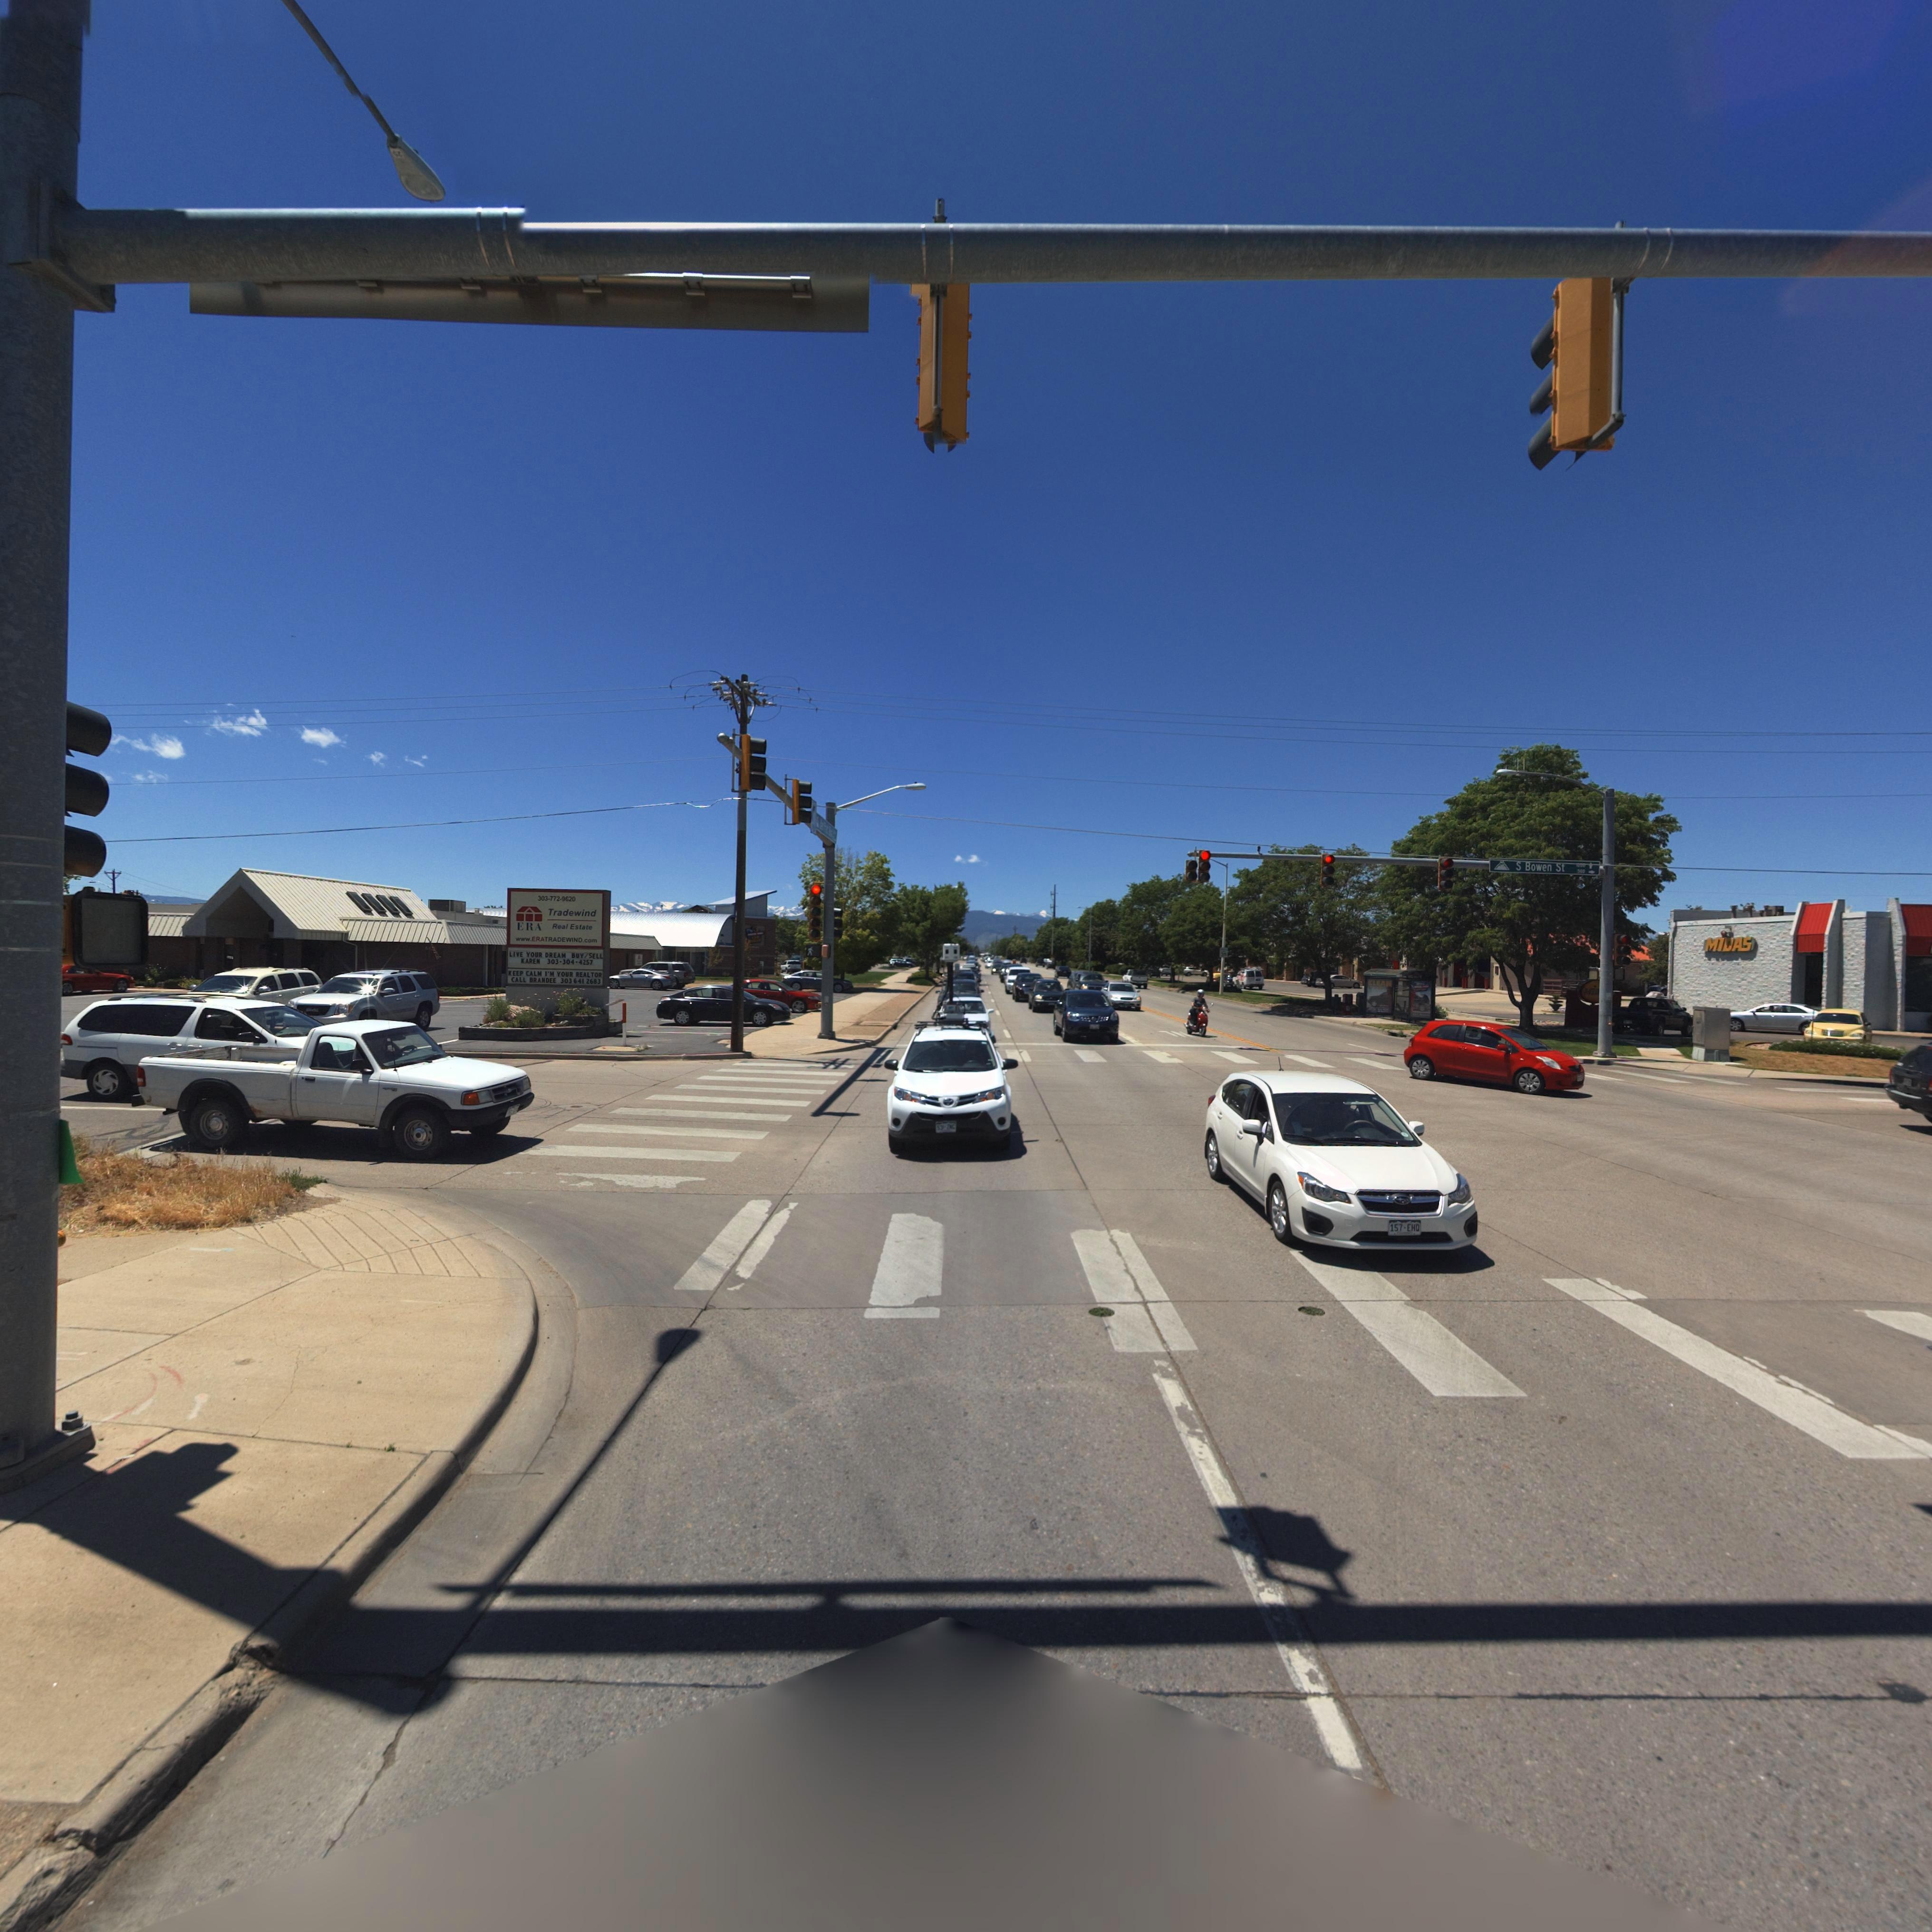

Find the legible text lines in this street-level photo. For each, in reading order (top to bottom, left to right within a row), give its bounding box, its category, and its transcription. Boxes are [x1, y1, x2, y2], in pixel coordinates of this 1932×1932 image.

[1516, 861, 1566, 872] StreetName: S Bowen St
[1577, 868, 1595, 874] StreetNumberRange: 500->
[548, 908, 597, 917] BusinessName: Tradewind
[517, 922, 542, 931] BusinessName: ERA
[551, 923, 592, 930] BusinessName: Real Estate
[1704, 929, 1752, 951] BusinessName: MiDAS 
[1583, 985, 1596, 995] BusinessName: Mi